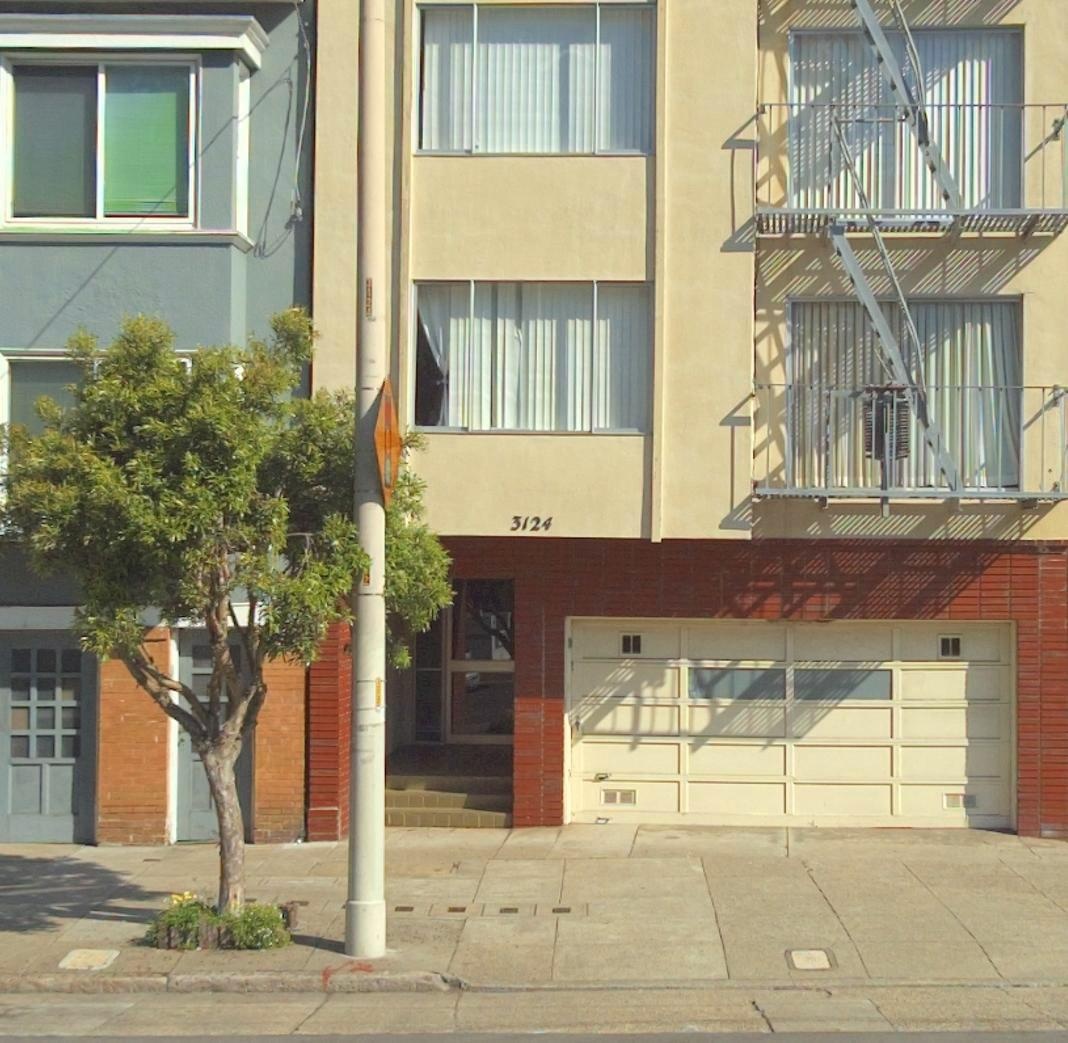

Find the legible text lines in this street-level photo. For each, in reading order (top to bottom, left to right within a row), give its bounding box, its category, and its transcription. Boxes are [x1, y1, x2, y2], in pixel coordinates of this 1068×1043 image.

[508, 513, 555, 534] StreetNumber: 3124